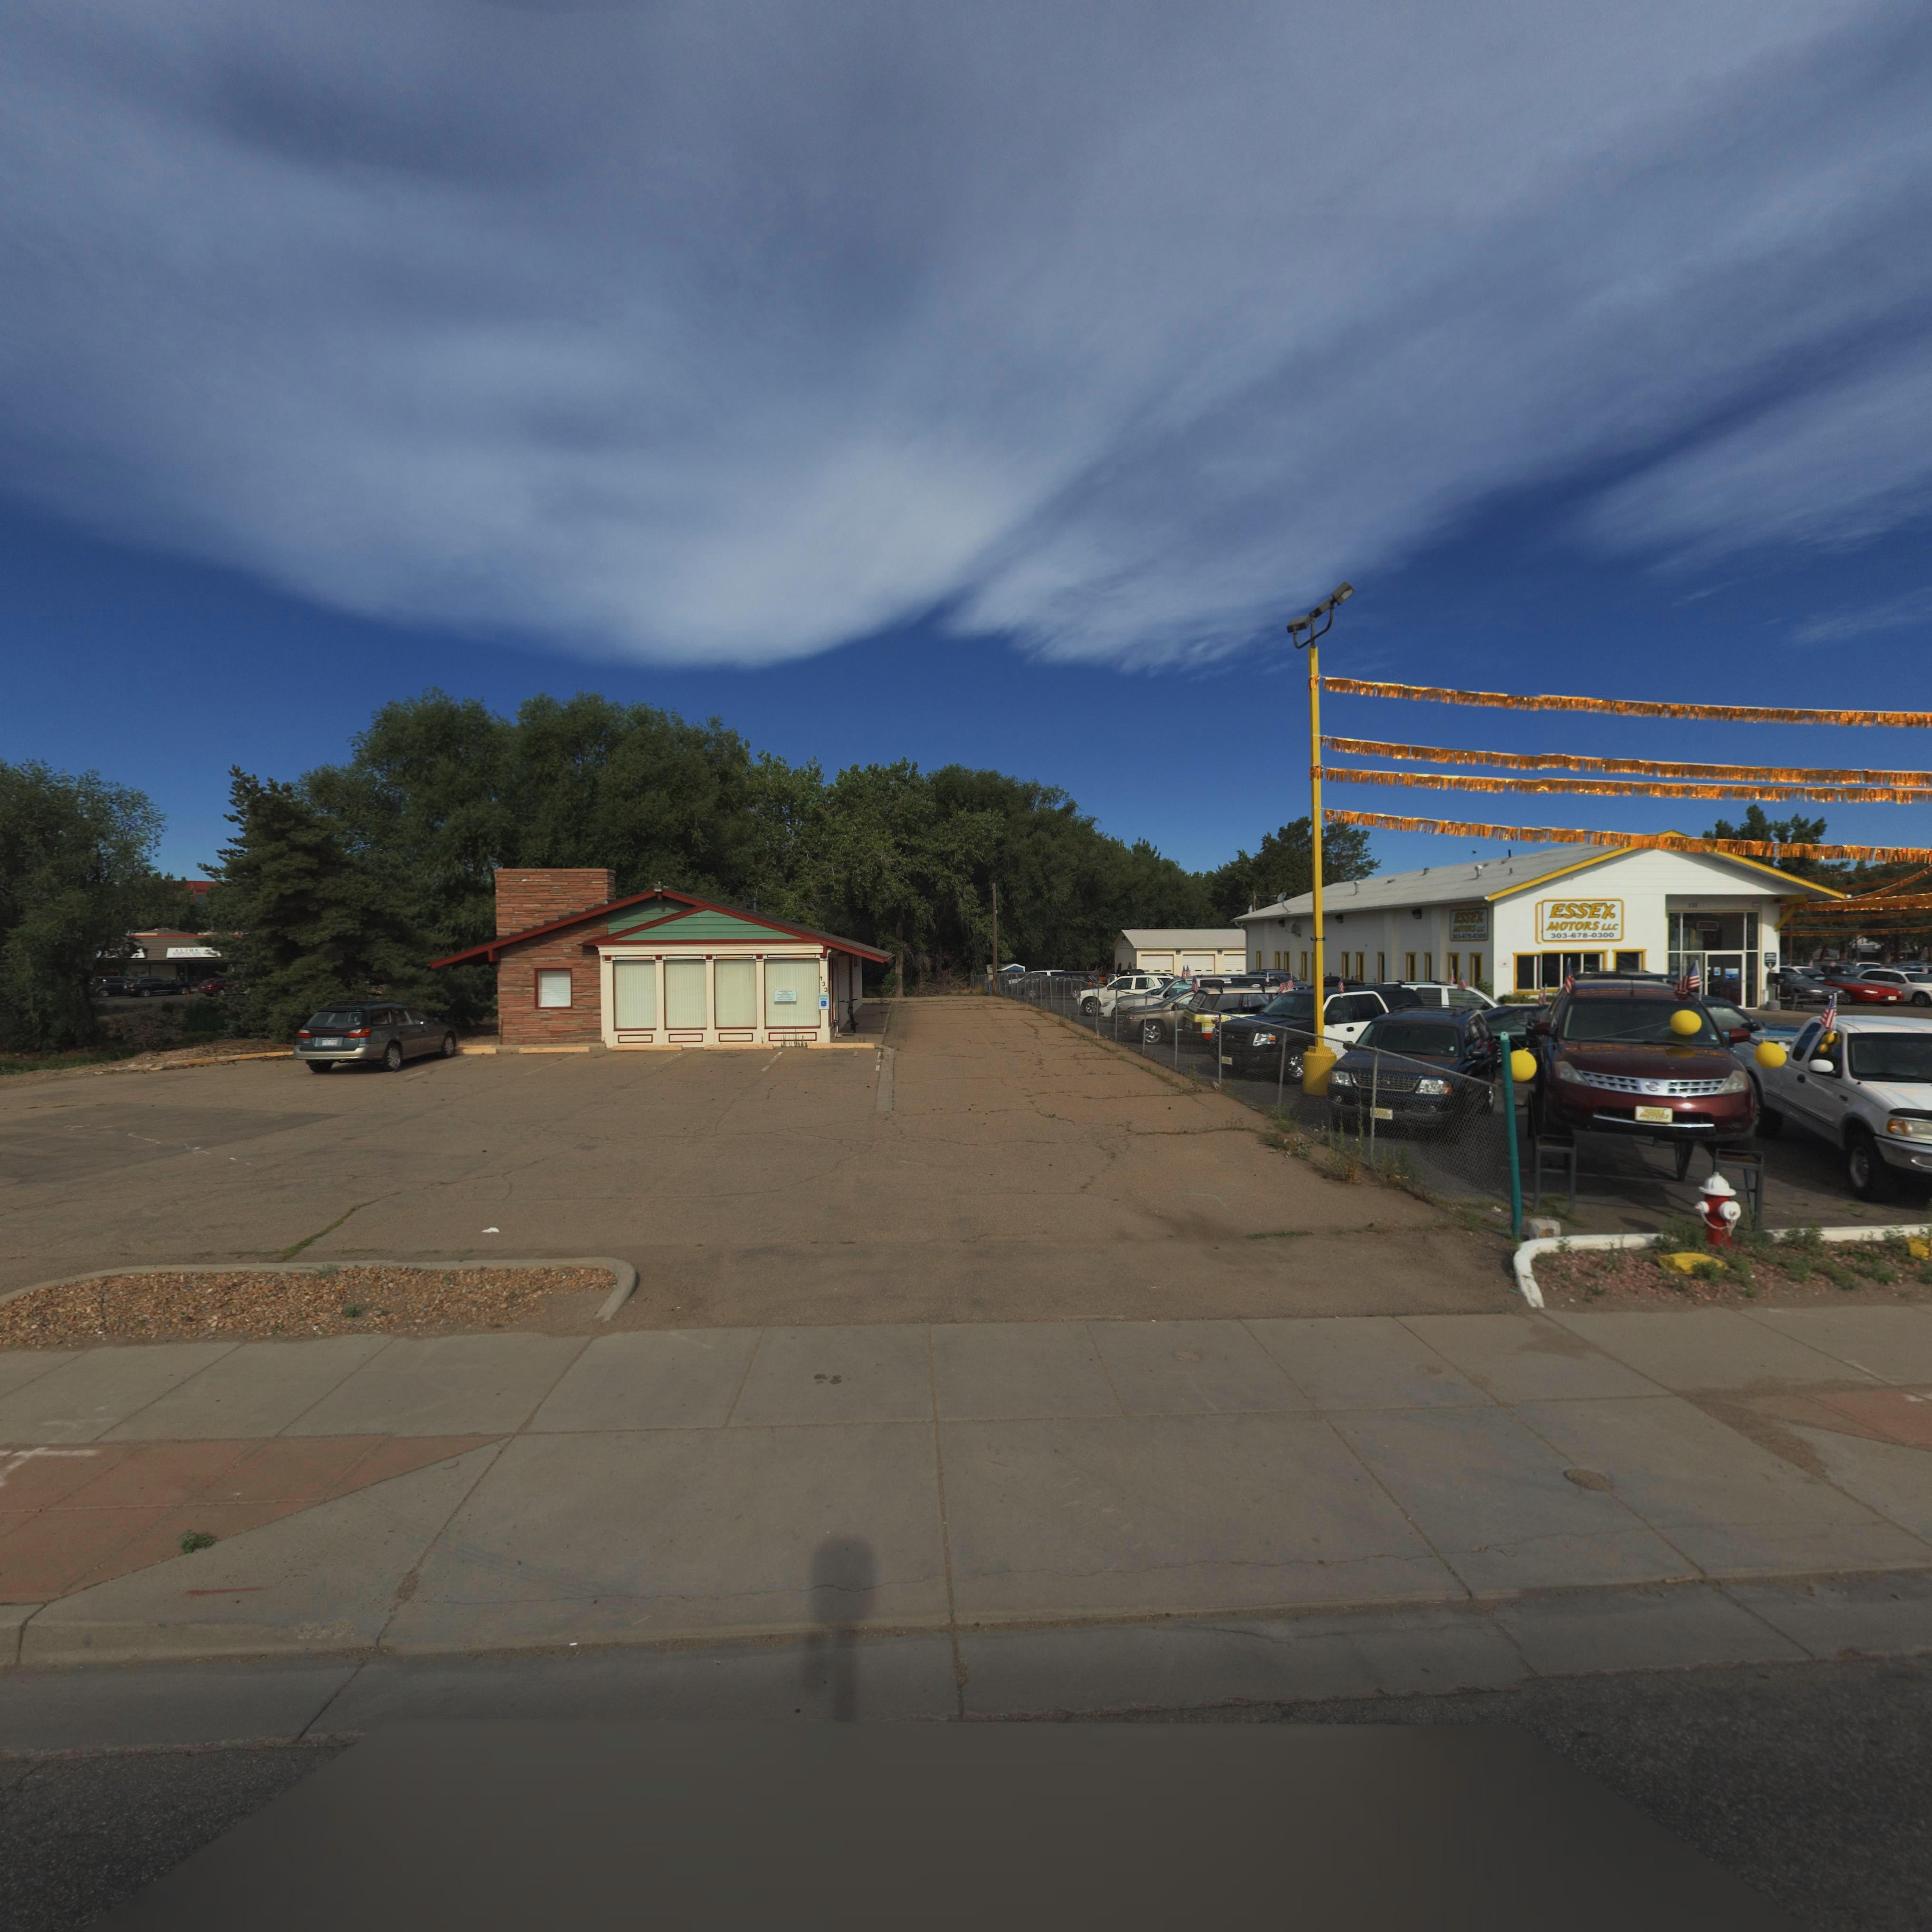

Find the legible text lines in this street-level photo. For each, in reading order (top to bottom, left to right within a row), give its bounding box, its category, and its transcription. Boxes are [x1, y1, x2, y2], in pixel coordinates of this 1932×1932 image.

[1454, 910, 1483, 923] BusinessName: ESSEX
[1549, 902, 1616, 919] BusinessName: ESSEX
[1452, 925, 1484, 932] BusinessName: MOTORS **C
[1545, 921, 1619, 931] BusinessName: MOTORS LLC
[174, 948, 199, 953] BusinessName: ALZR*
[820, 975, 828, 992] StreetNumber: 133